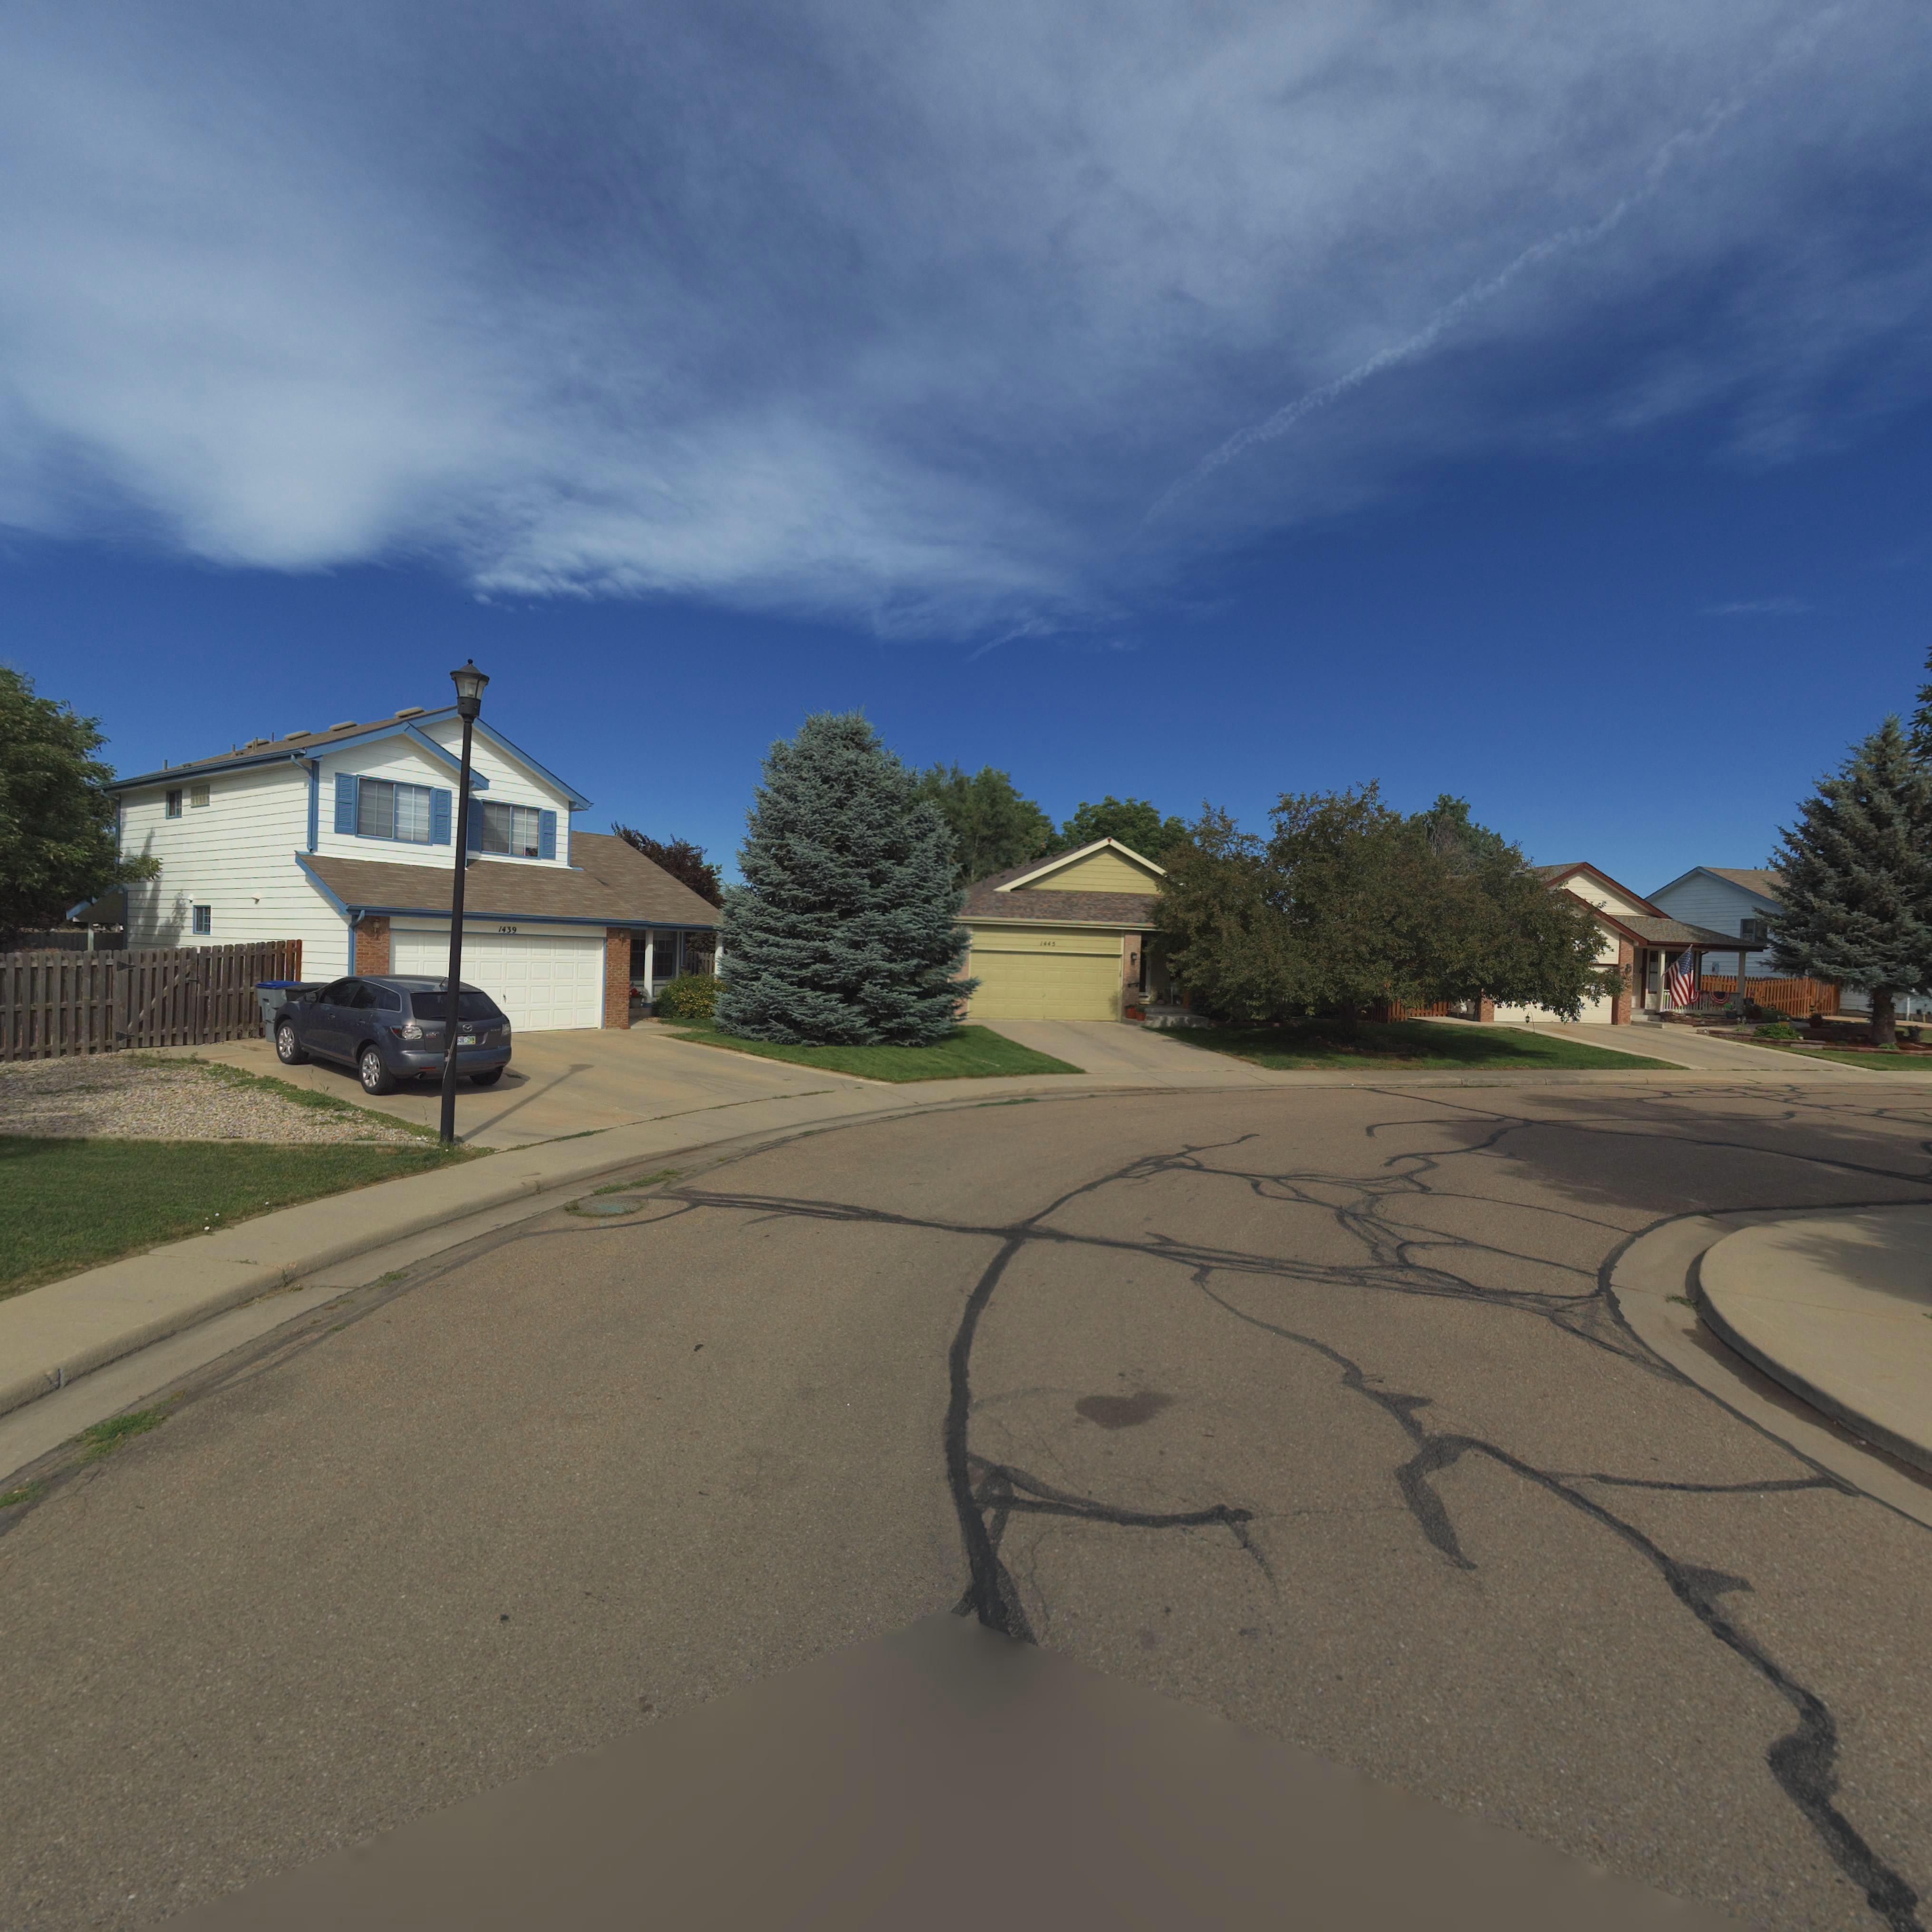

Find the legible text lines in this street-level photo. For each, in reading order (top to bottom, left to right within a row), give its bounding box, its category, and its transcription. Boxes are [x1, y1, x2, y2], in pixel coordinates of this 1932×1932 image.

[497, 925, 517, 933] StreetNumber: 1439
[1039, 941, 1056, 947] StreetNumber: 1445